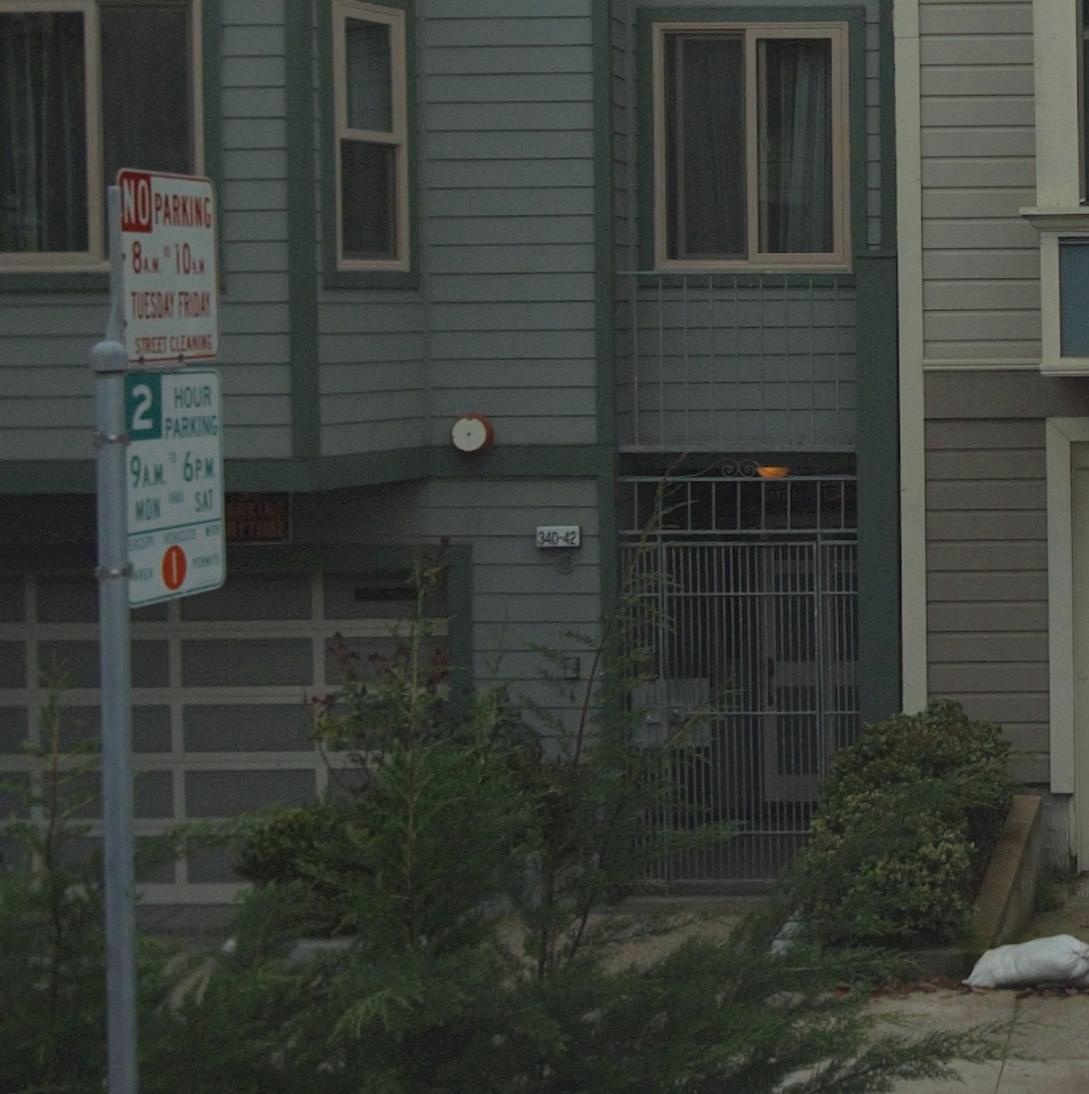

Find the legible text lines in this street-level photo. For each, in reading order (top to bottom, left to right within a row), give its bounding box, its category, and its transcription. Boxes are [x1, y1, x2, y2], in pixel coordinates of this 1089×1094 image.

[121, 177, 213, 230] None: NO PARKING
[132, 240, 162, 275] None: 8AM
[173, 241, 206, 277] None: 10AM
[130, 290, 212, 321] None: TUESDAY FRIDAY
[133, 332, 214, 356] None: STREET CLEANING
[131, 383, 154, 431] None: 2
[172, 384, 213, 410] None: HOUR
[163, 414, 218, 440] None: PARKING
[128, 454, 164, 491] None: 9AM
[182, 449, 215, 484] None: 6PM
[133, 495, 162, 525] None: MON
[193, 488, 215, 515] None: SAT
[537, 530, 577, 546] StreetNumber: 340-42
[170, 550, 178, 585] None: I